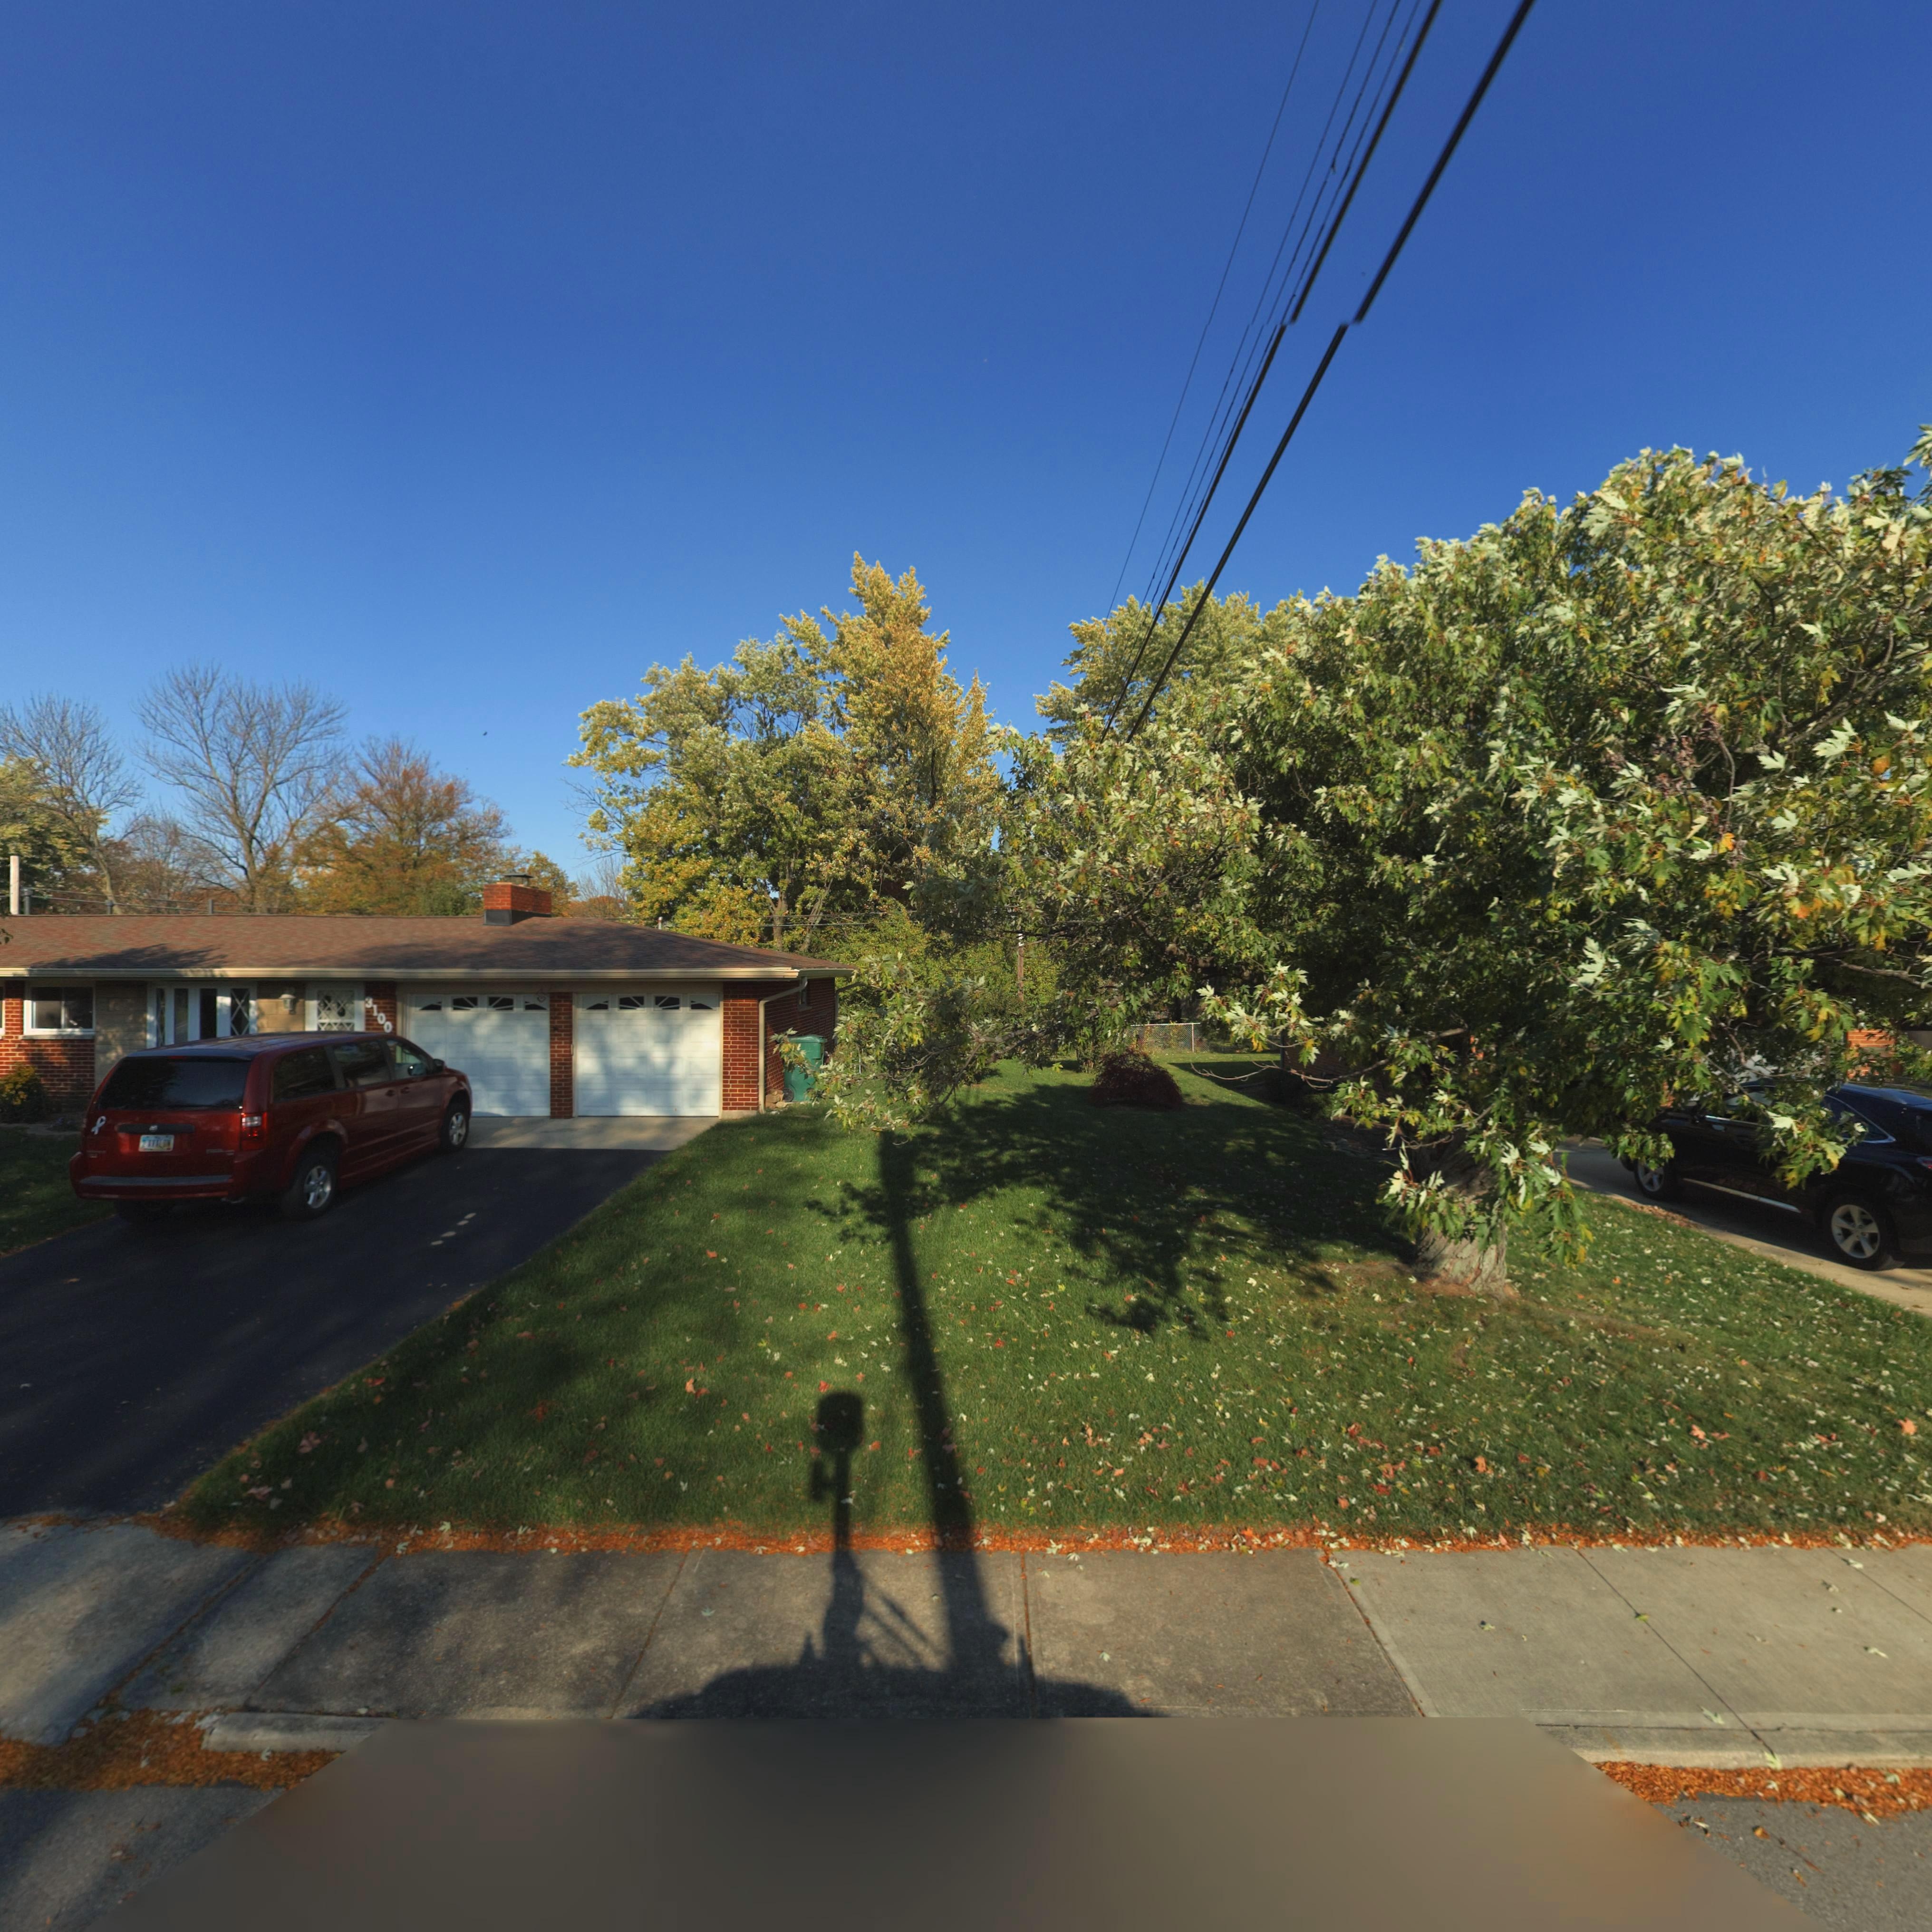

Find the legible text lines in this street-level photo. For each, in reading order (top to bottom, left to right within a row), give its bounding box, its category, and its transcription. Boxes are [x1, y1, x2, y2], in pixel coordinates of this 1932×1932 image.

[365, 995, 394, 1034] StreetNumber: 3100